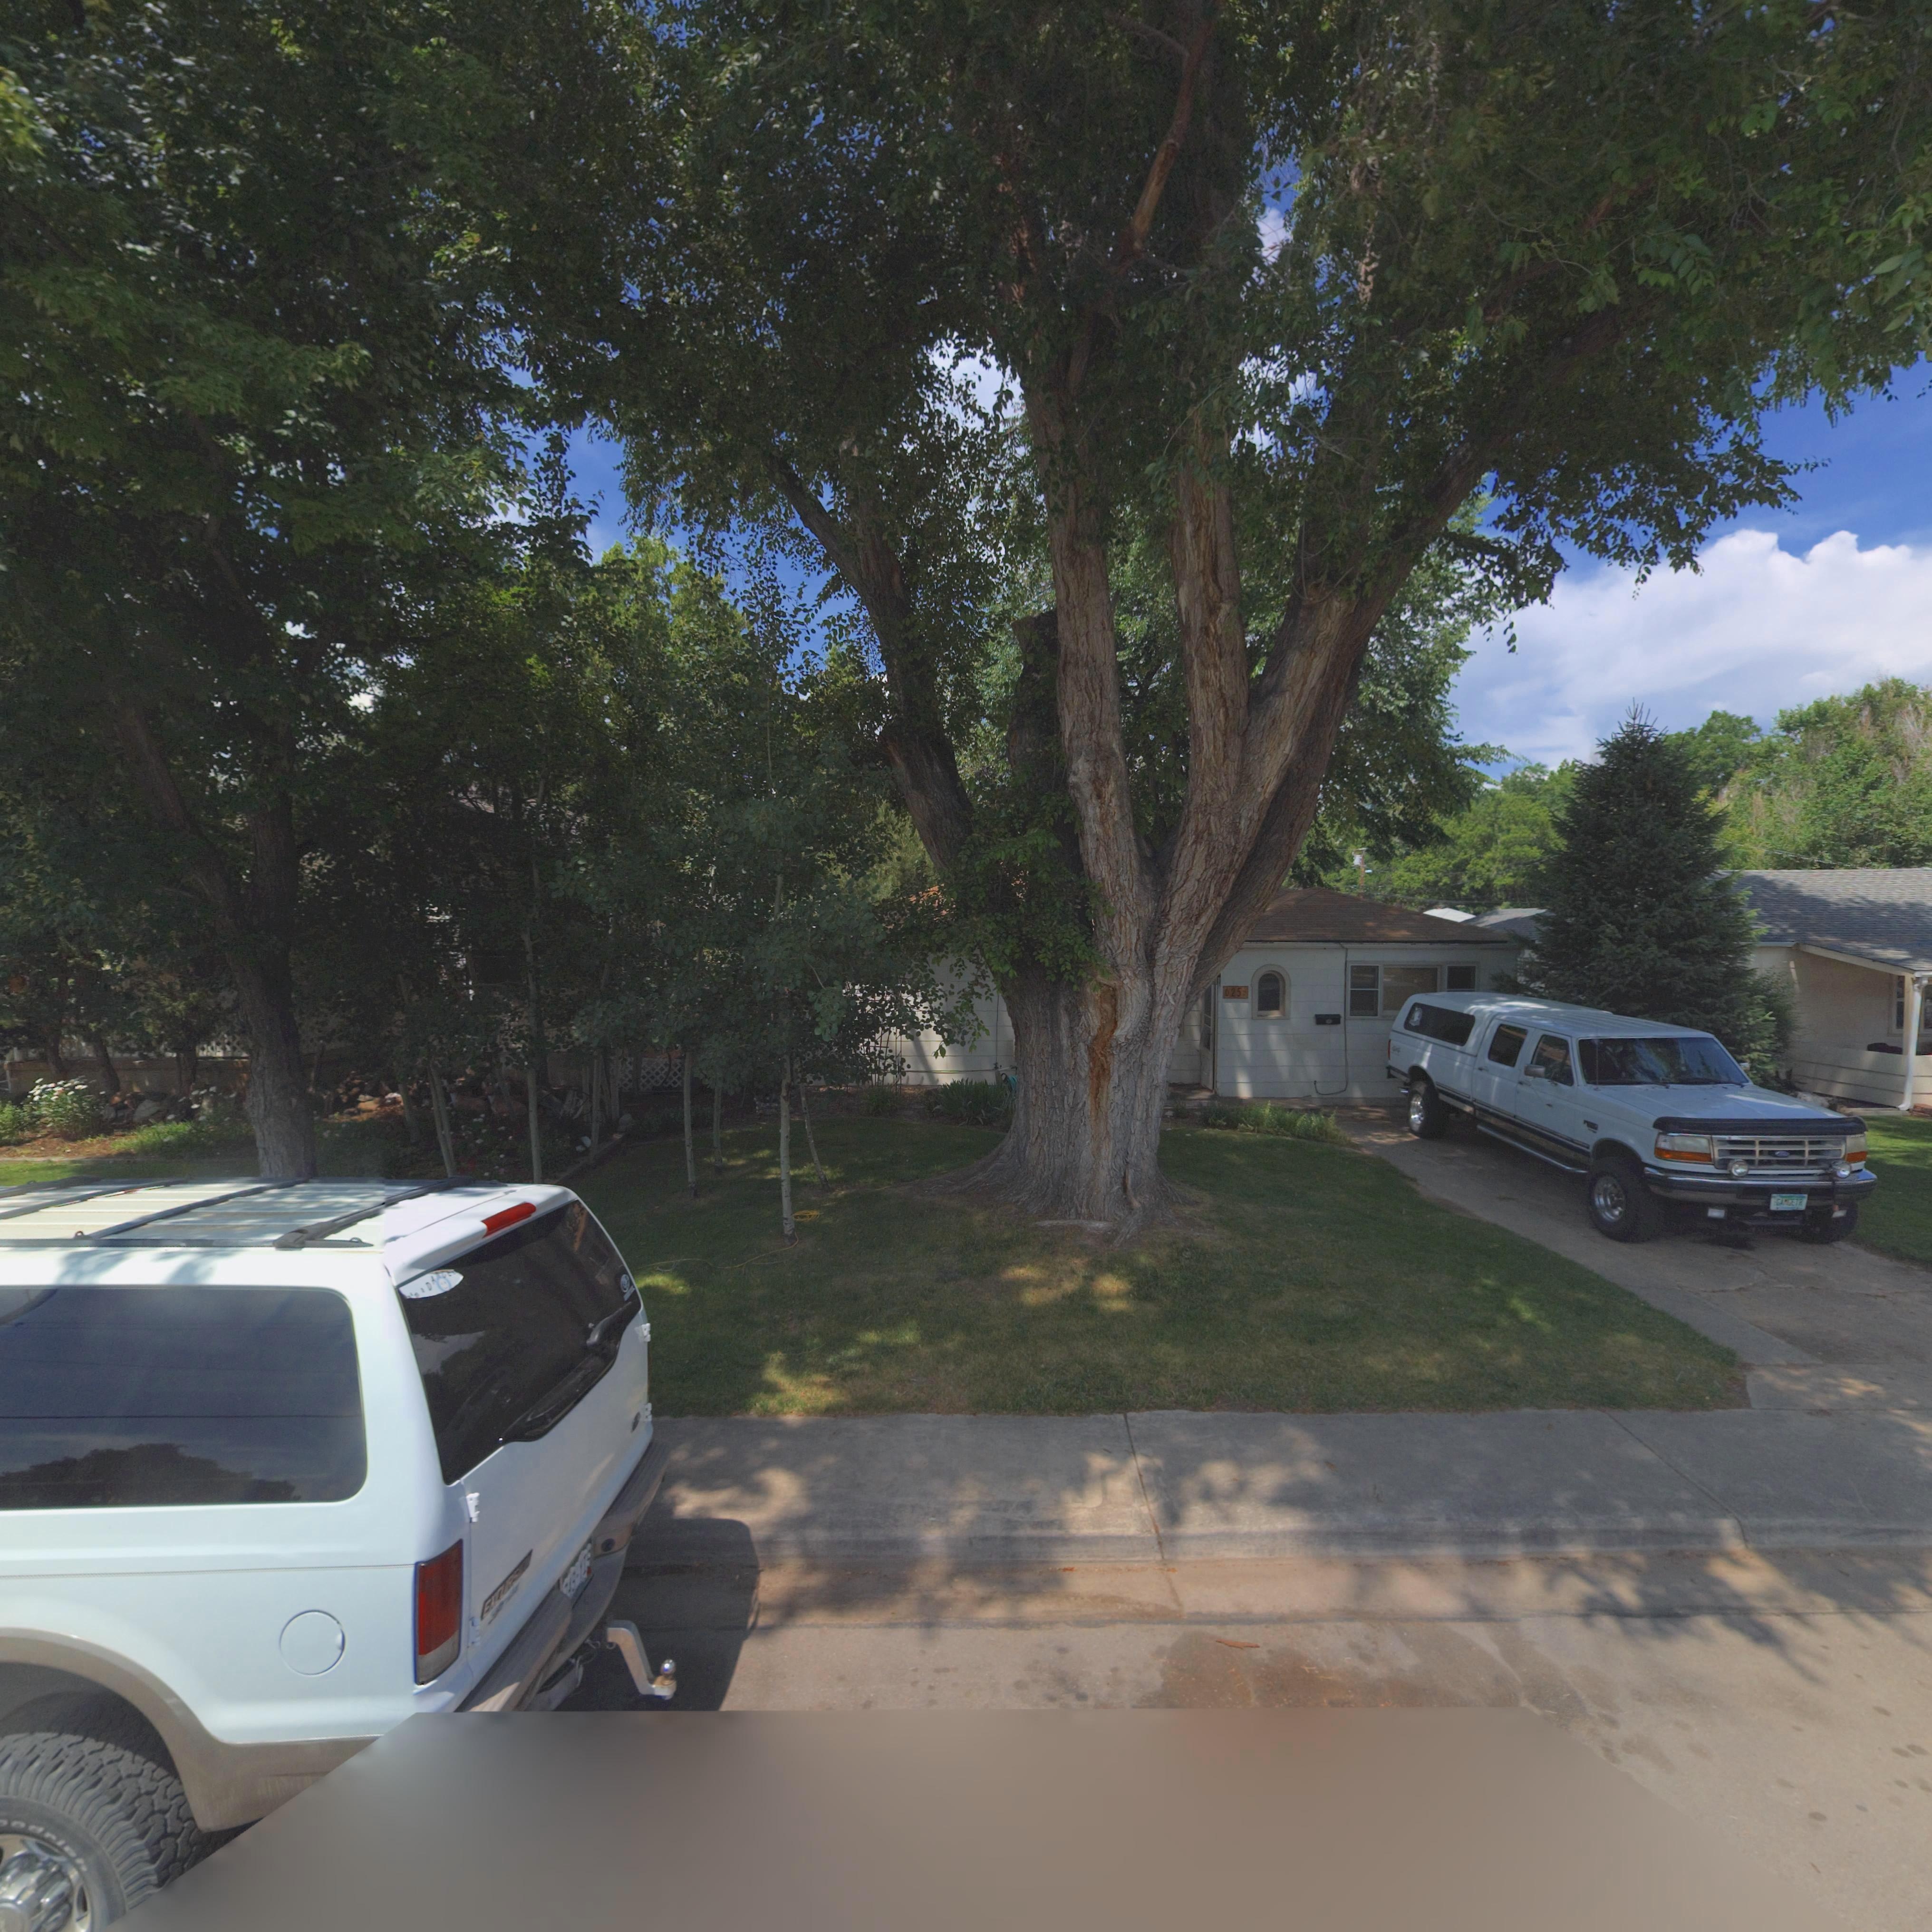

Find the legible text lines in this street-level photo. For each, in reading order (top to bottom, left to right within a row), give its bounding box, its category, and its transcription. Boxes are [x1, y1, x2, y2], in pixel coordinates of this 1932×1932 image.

[1225, 986, 1242, 997] StreetNumber: 625